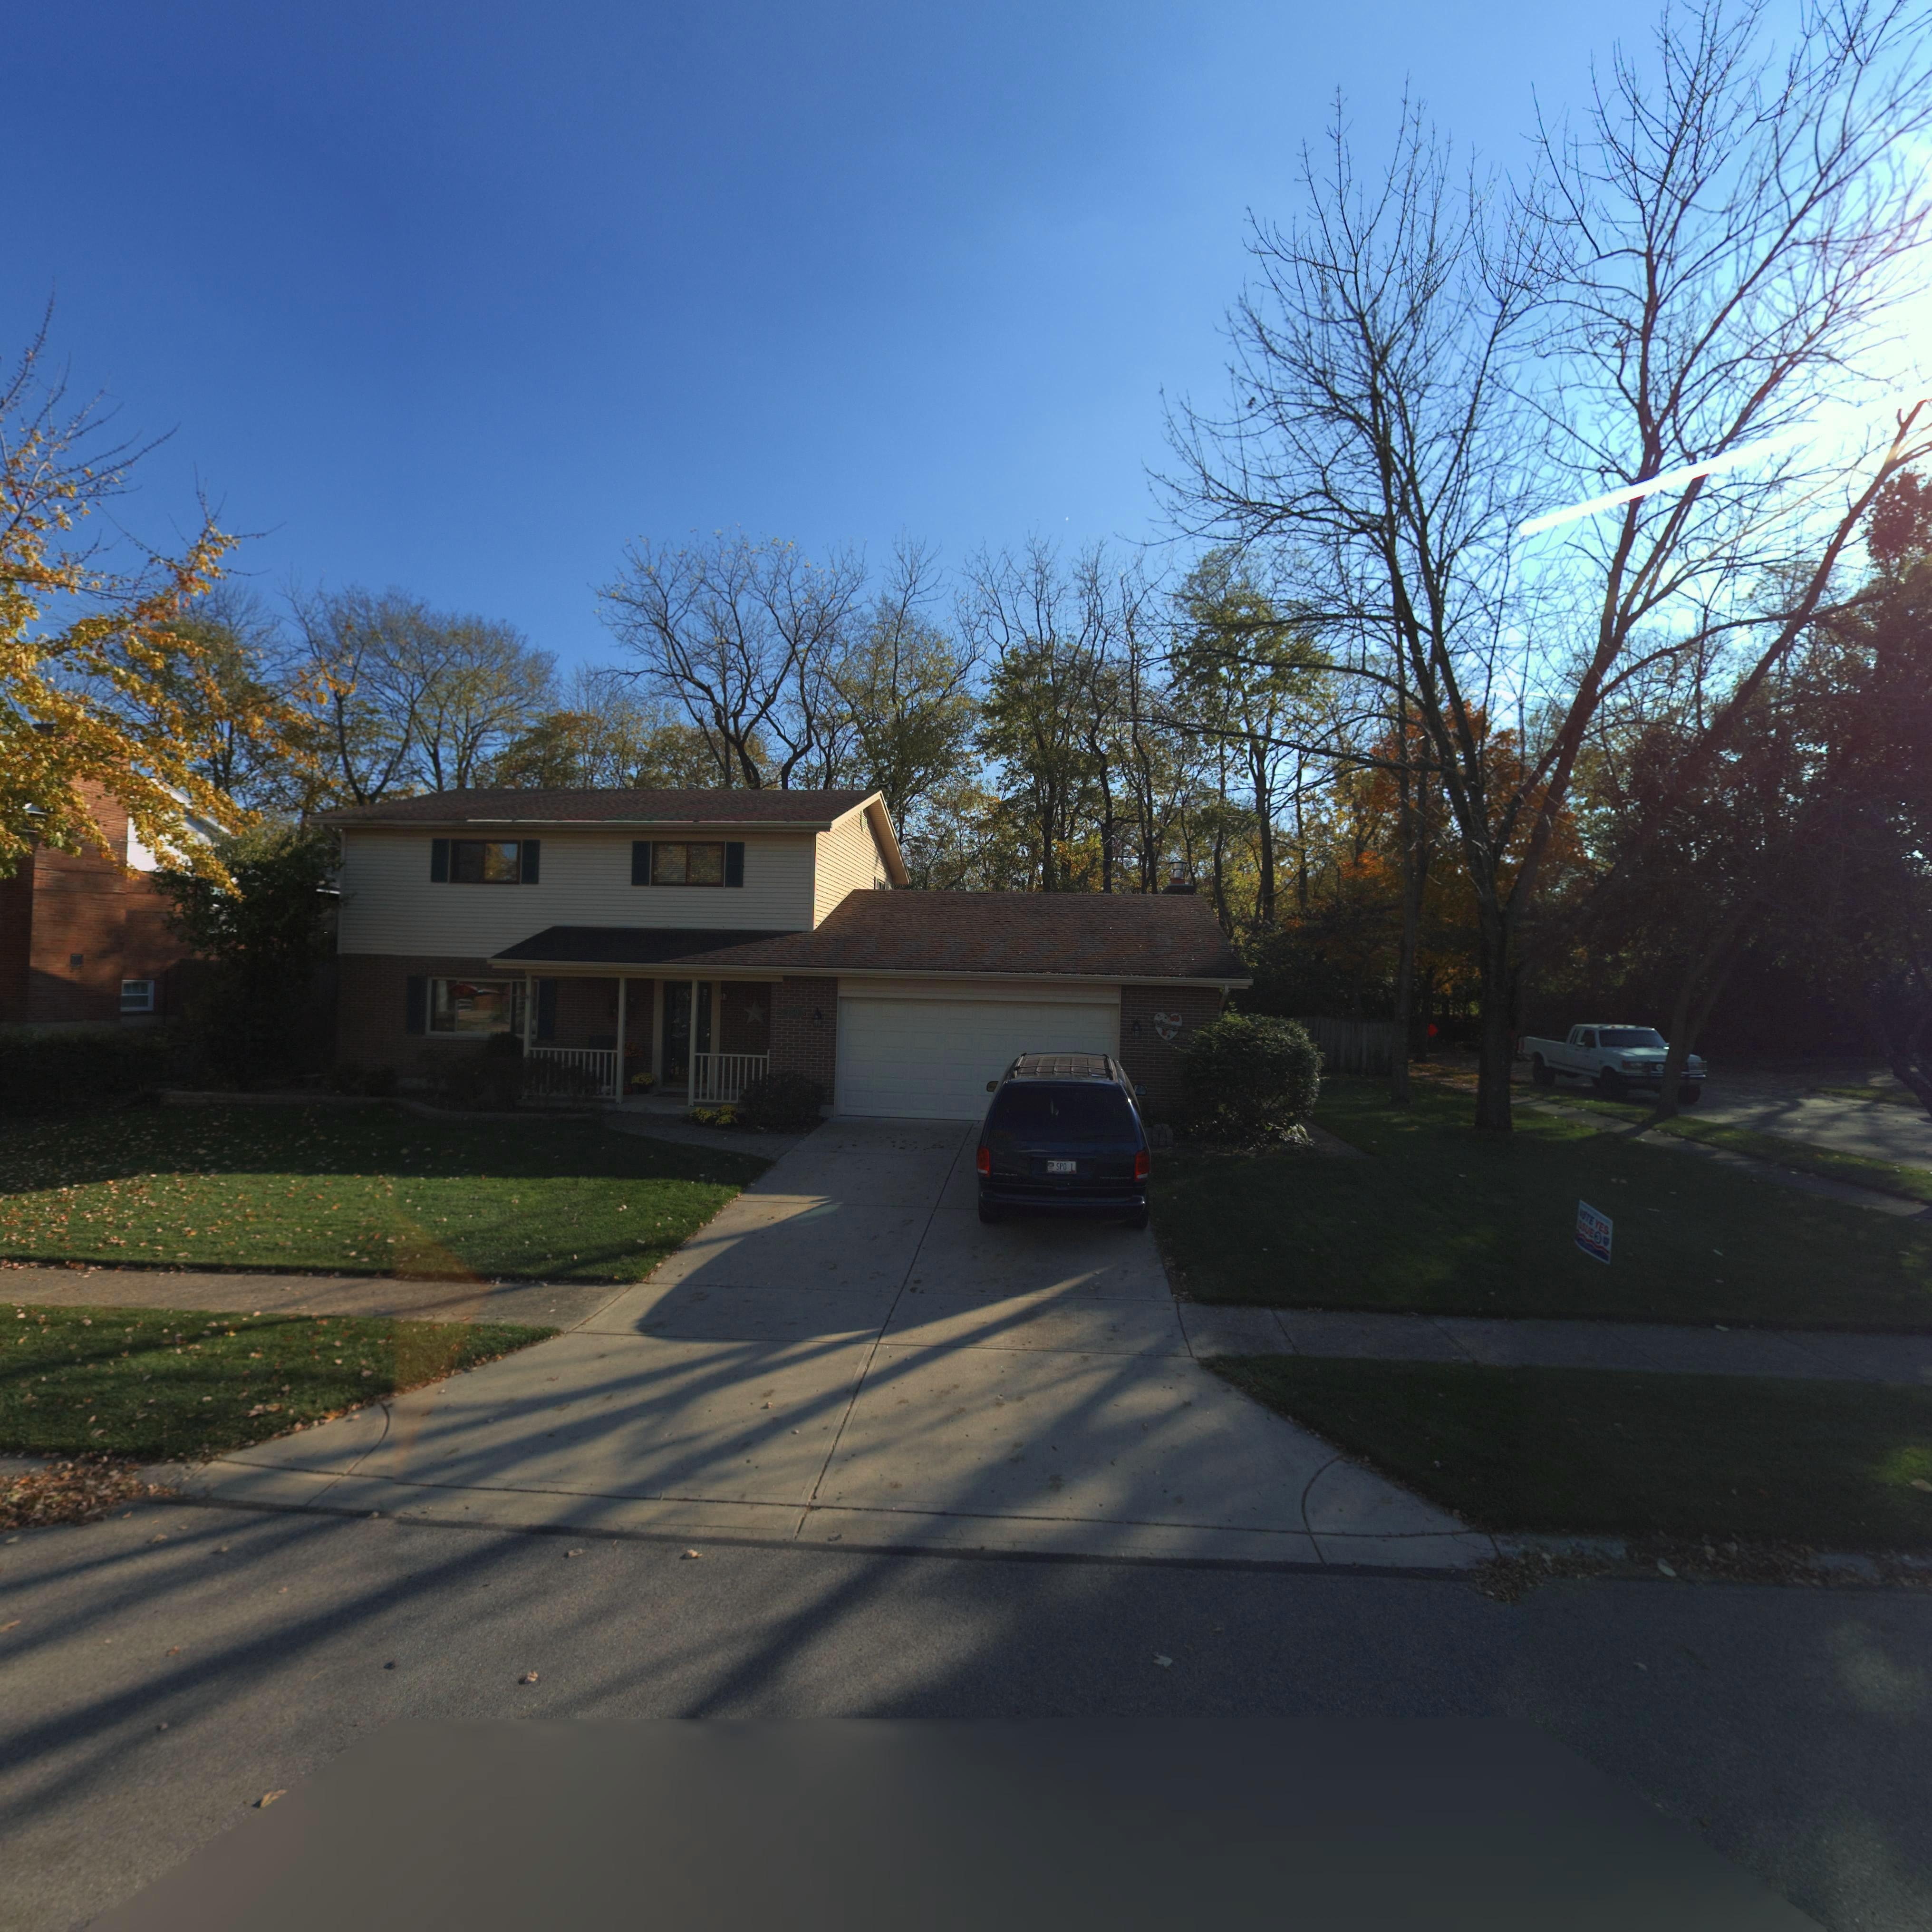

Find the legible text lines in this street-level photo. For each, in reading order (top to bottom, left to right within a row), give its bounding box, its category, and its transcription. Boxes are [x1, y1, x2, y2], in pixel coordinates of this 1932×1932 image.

[784, 1007, 800, 1017] StreetNumber: 750